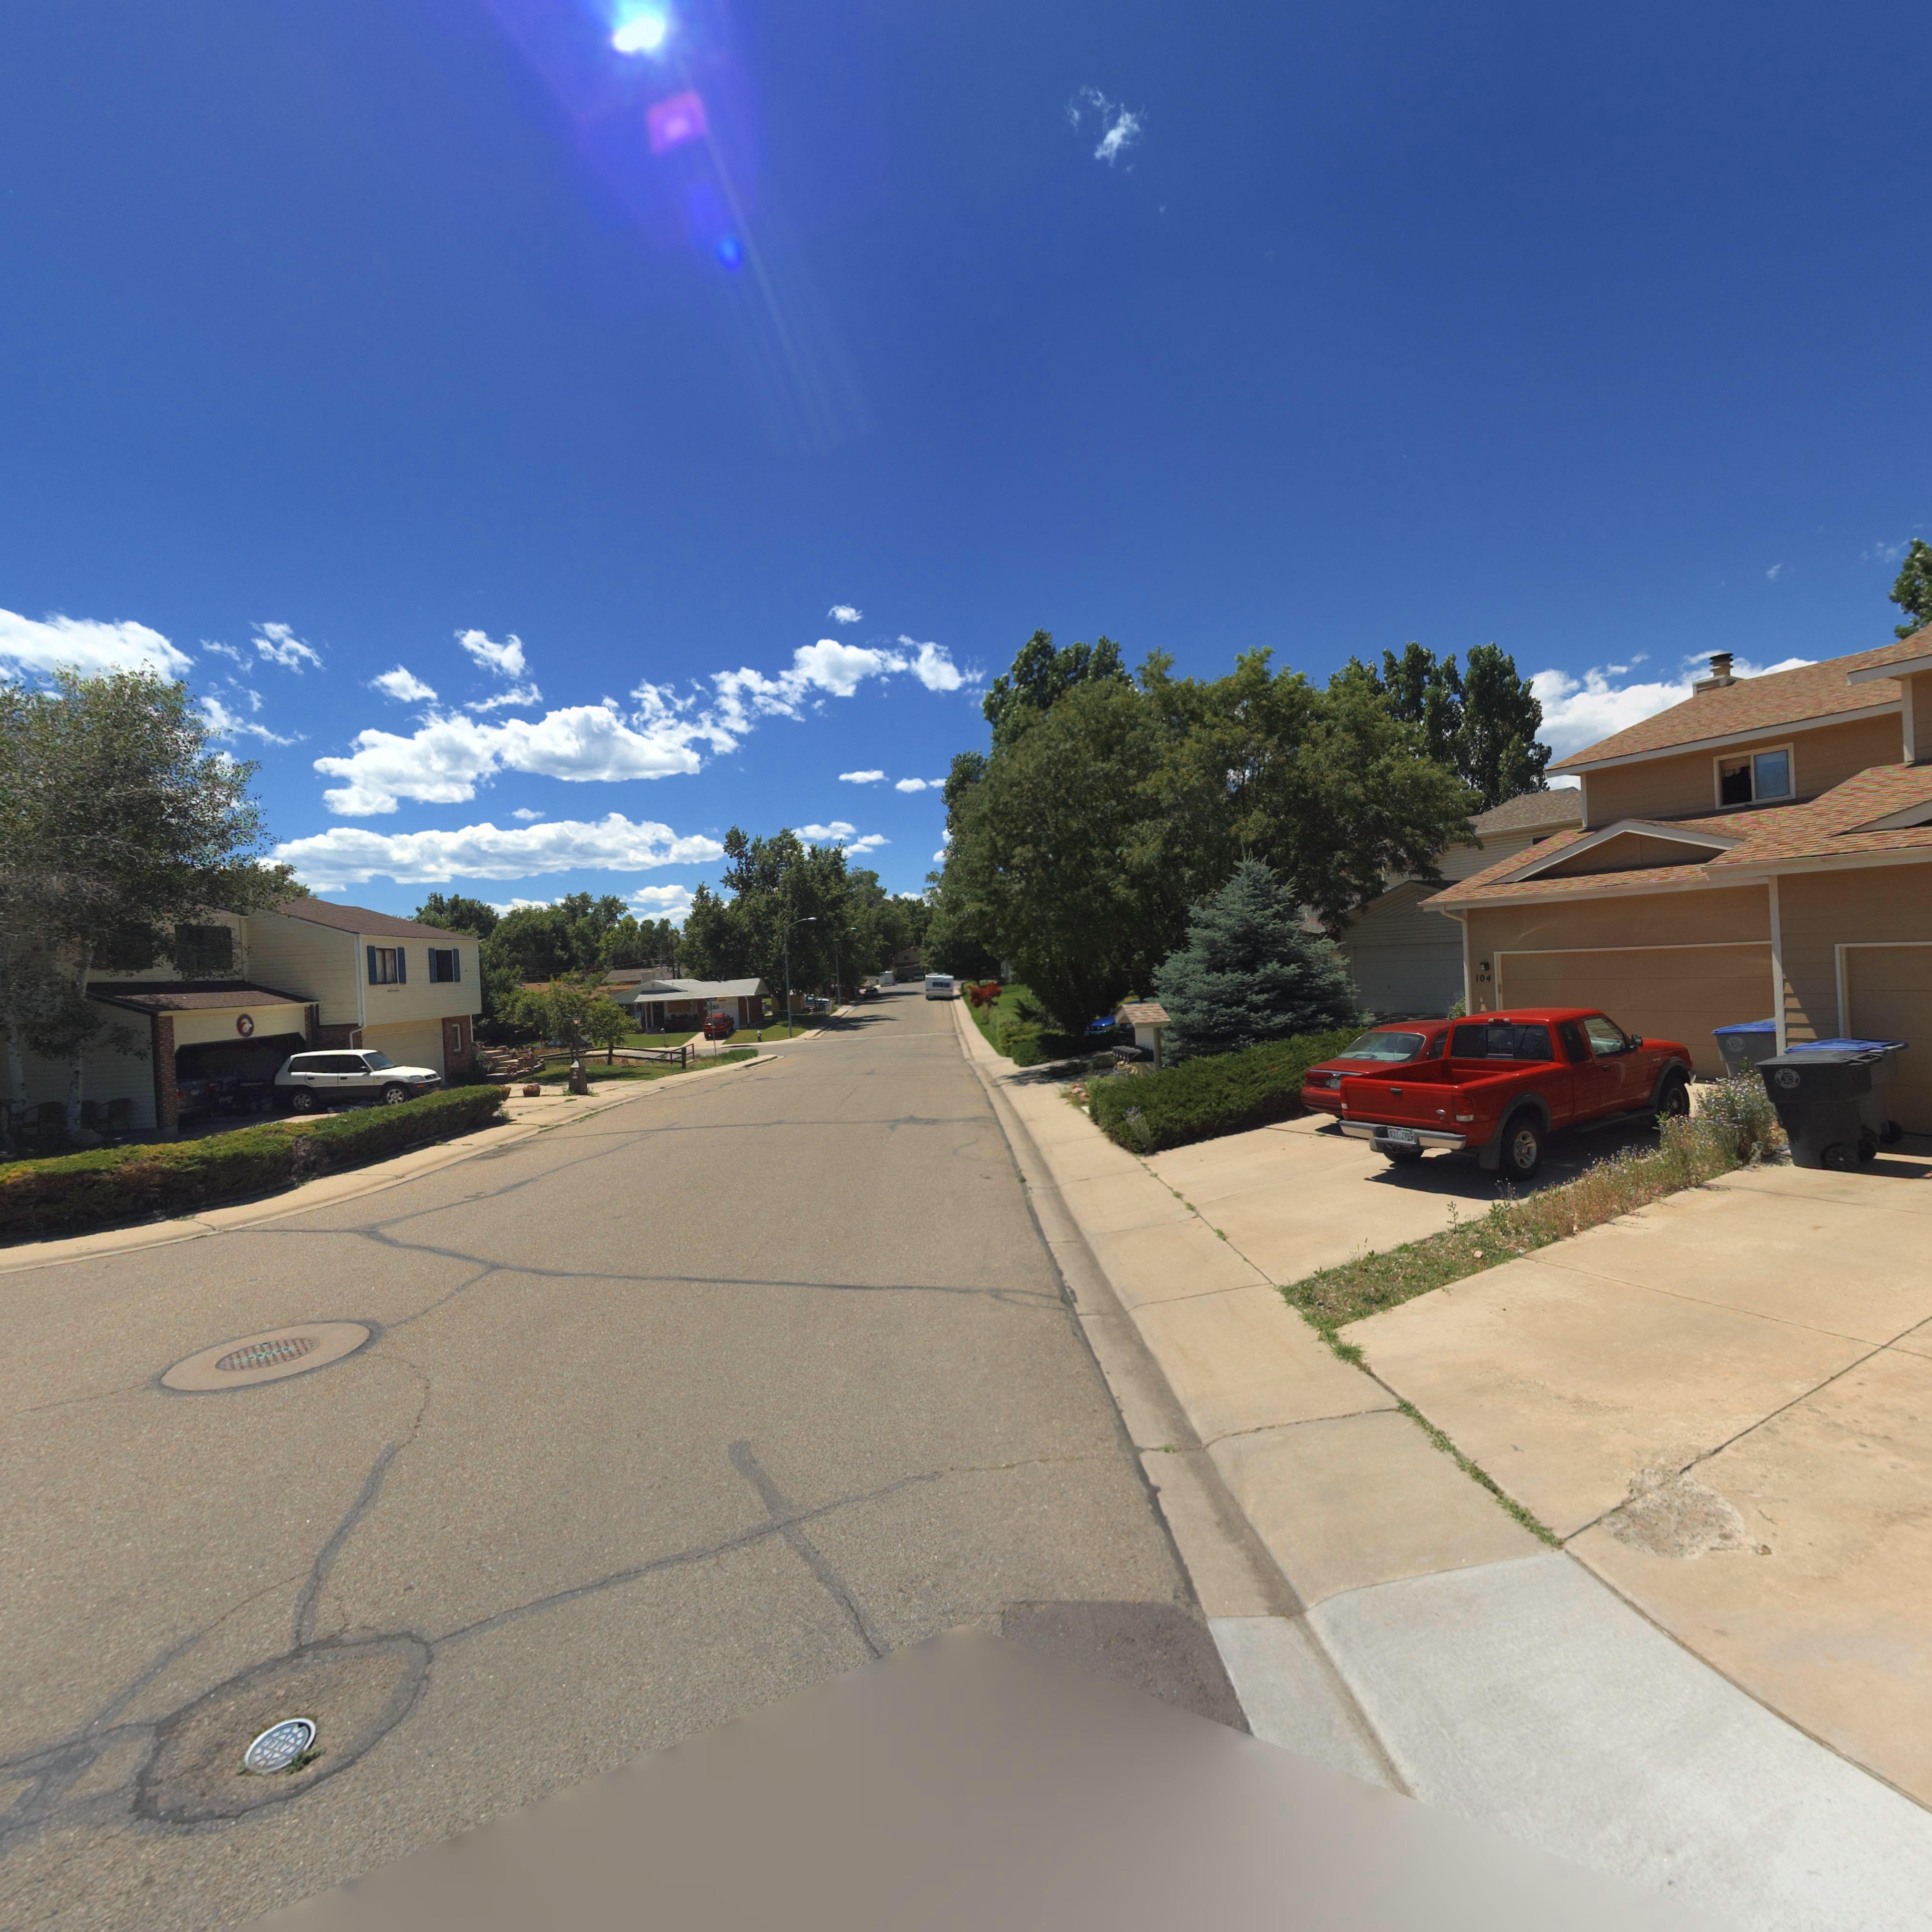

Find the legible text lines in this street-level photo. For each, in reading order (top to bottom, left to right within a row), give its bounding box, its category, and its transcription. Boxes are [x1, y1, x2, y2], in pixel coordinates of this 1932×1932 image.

[1475, 974, 1491, 983] StreetNumber: 104